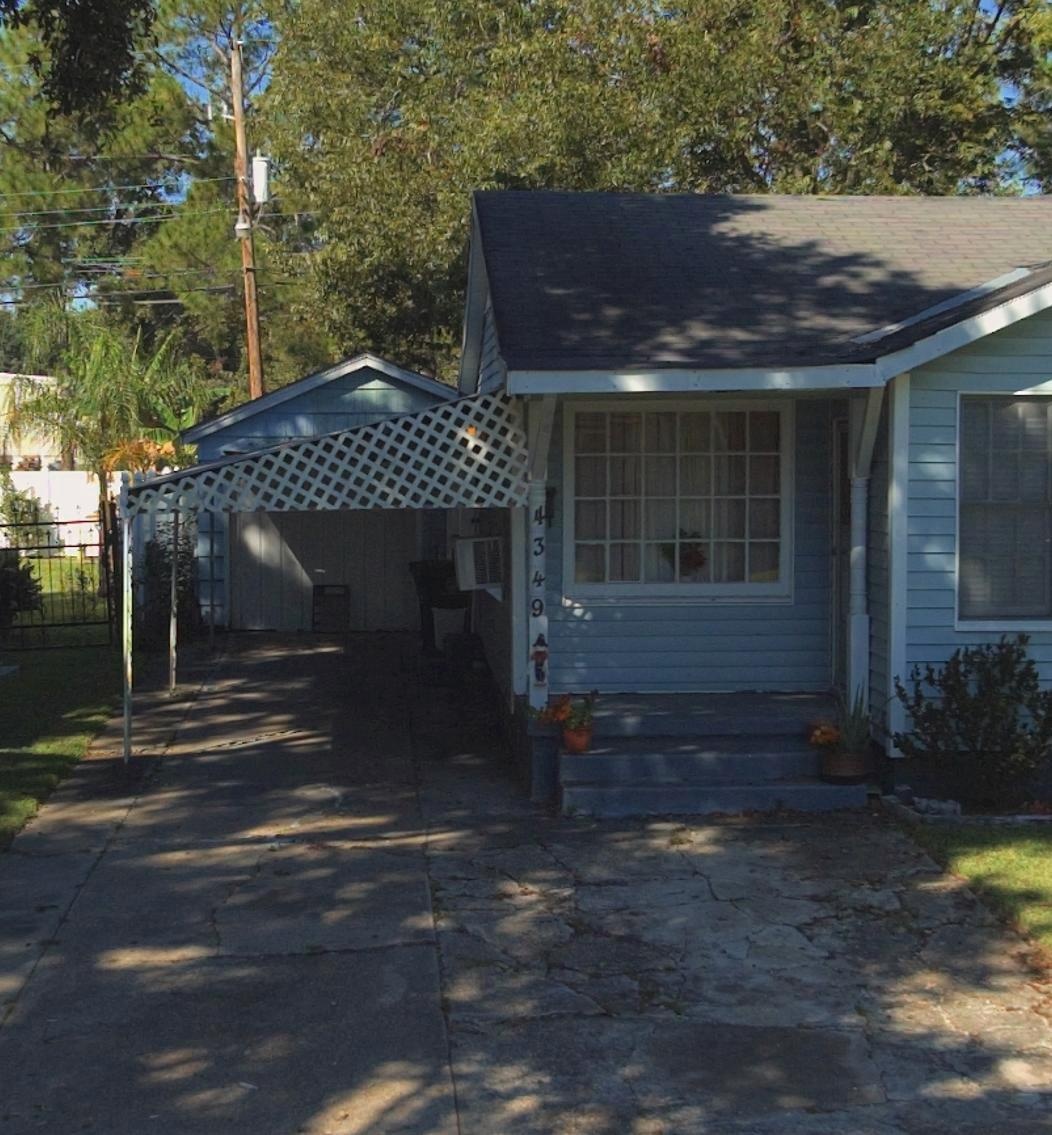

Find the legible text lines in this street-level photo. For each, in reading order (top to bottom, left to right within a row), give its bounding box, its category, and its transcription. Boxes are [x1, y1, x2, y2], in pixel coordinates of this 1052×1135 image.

[529, 504, 547, 620] StreetNumber: 4349